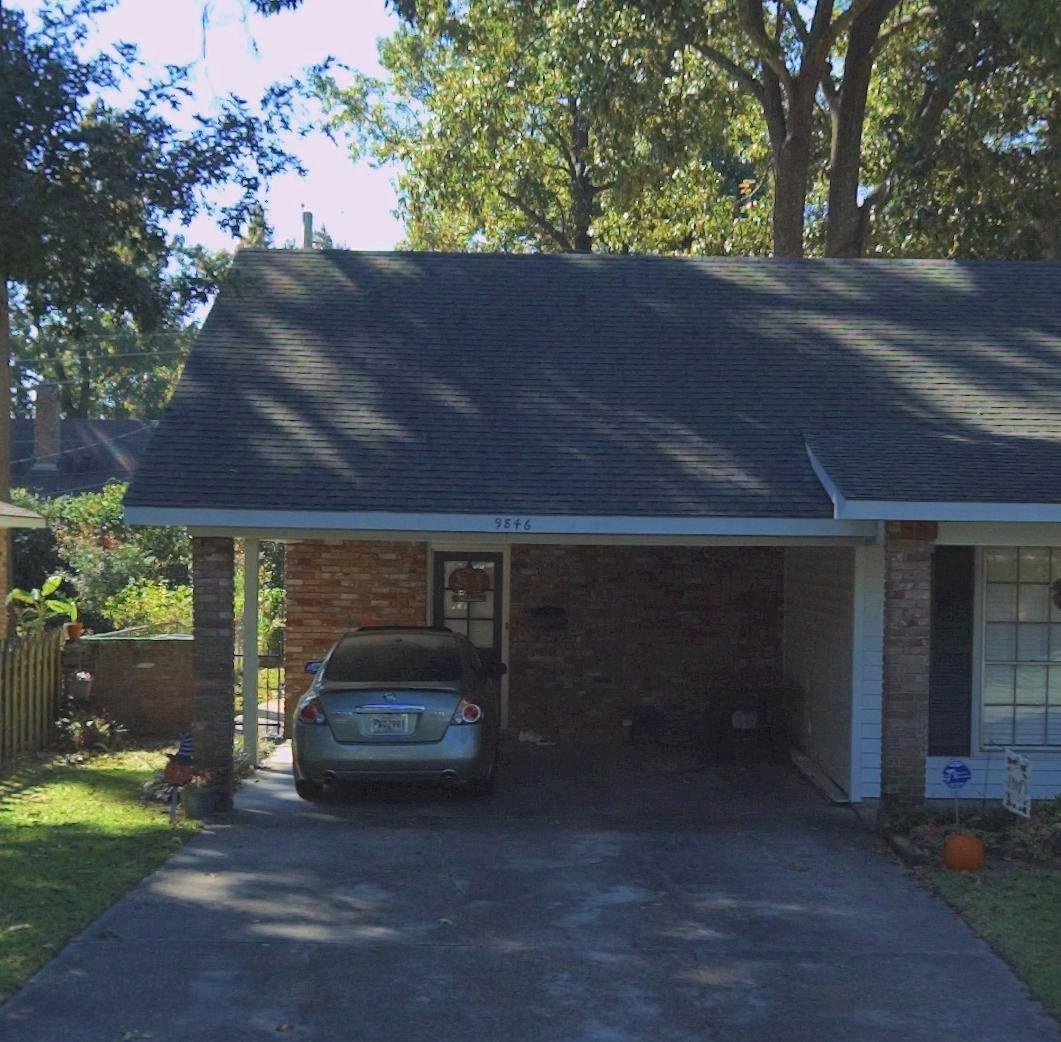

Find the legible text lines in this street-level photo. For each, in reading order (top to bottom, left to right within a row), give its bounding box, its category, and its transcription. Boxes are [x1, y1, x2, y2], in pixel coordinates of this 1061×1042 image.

[492, 515, 534, 533] StreetNumber: 9846
[389, 717, 406, 730] None: 981